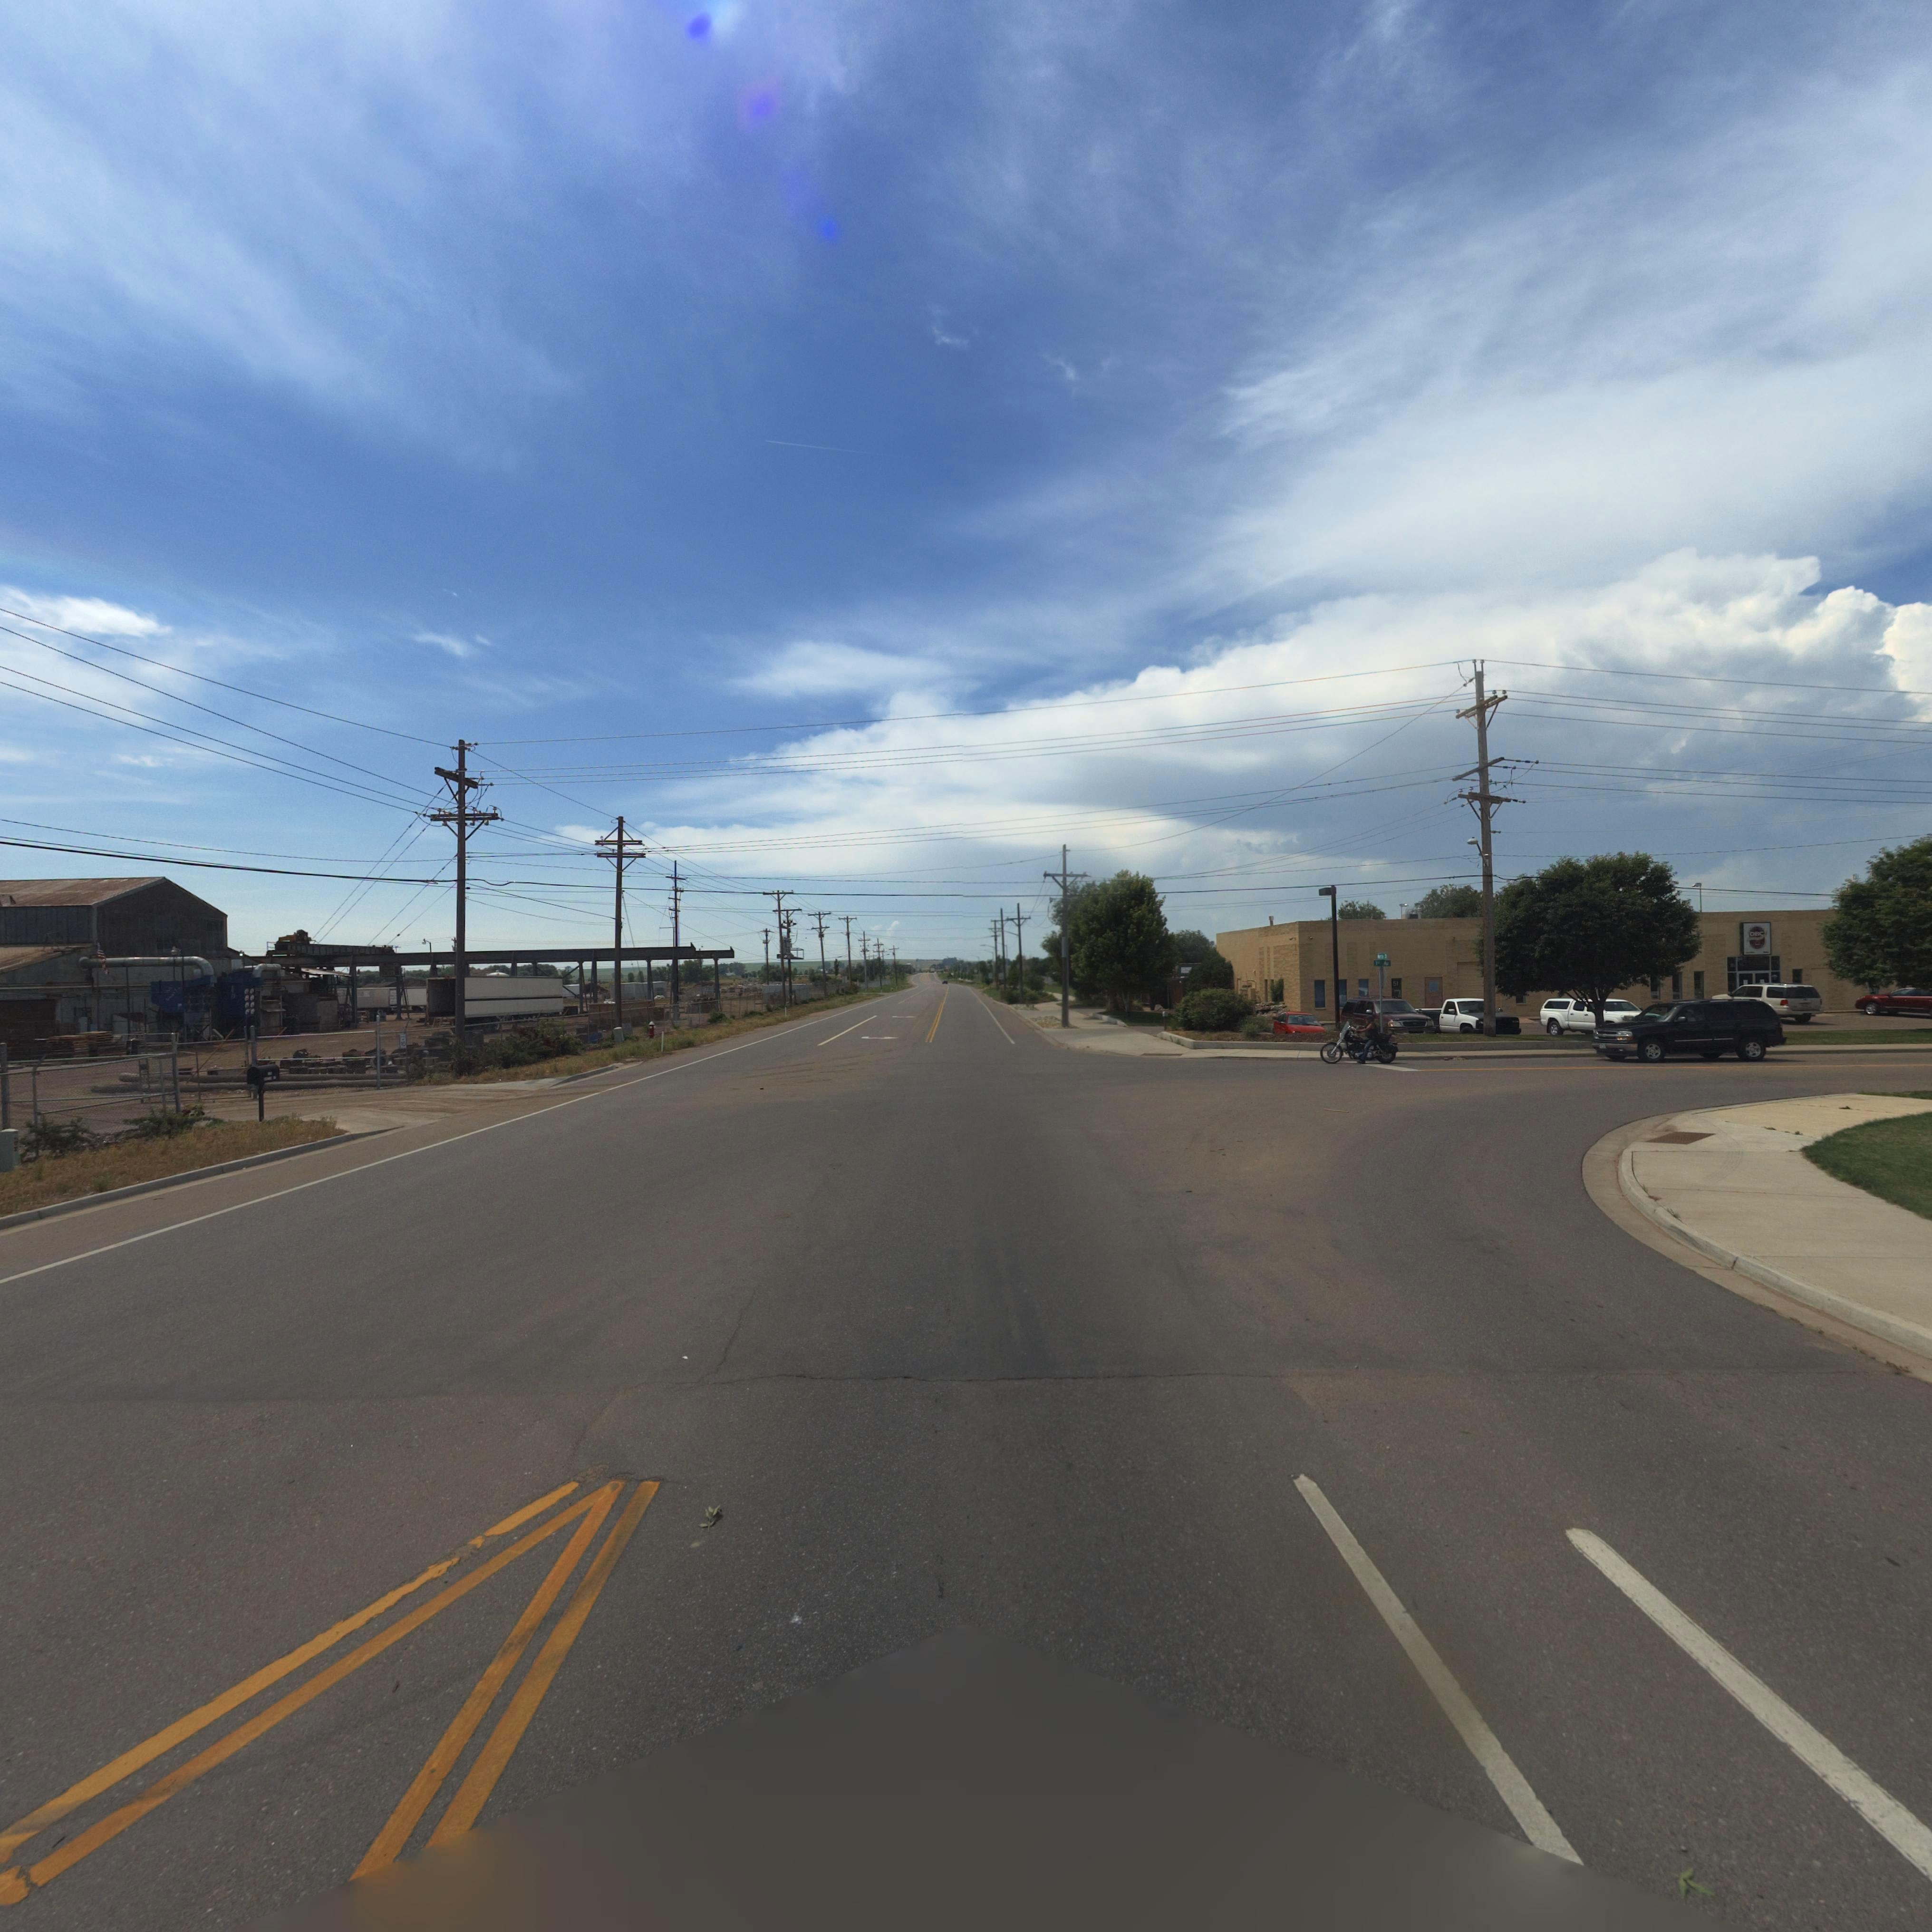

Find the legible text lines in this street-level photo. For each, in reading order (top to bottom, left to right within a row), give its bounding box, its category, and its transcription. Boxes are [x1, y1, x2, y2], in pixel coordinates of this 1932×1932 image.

[1375, 960, 1389, 966] StreetName: 1** Av
[1392, 980, 1399, 986] StreetNumber: 51